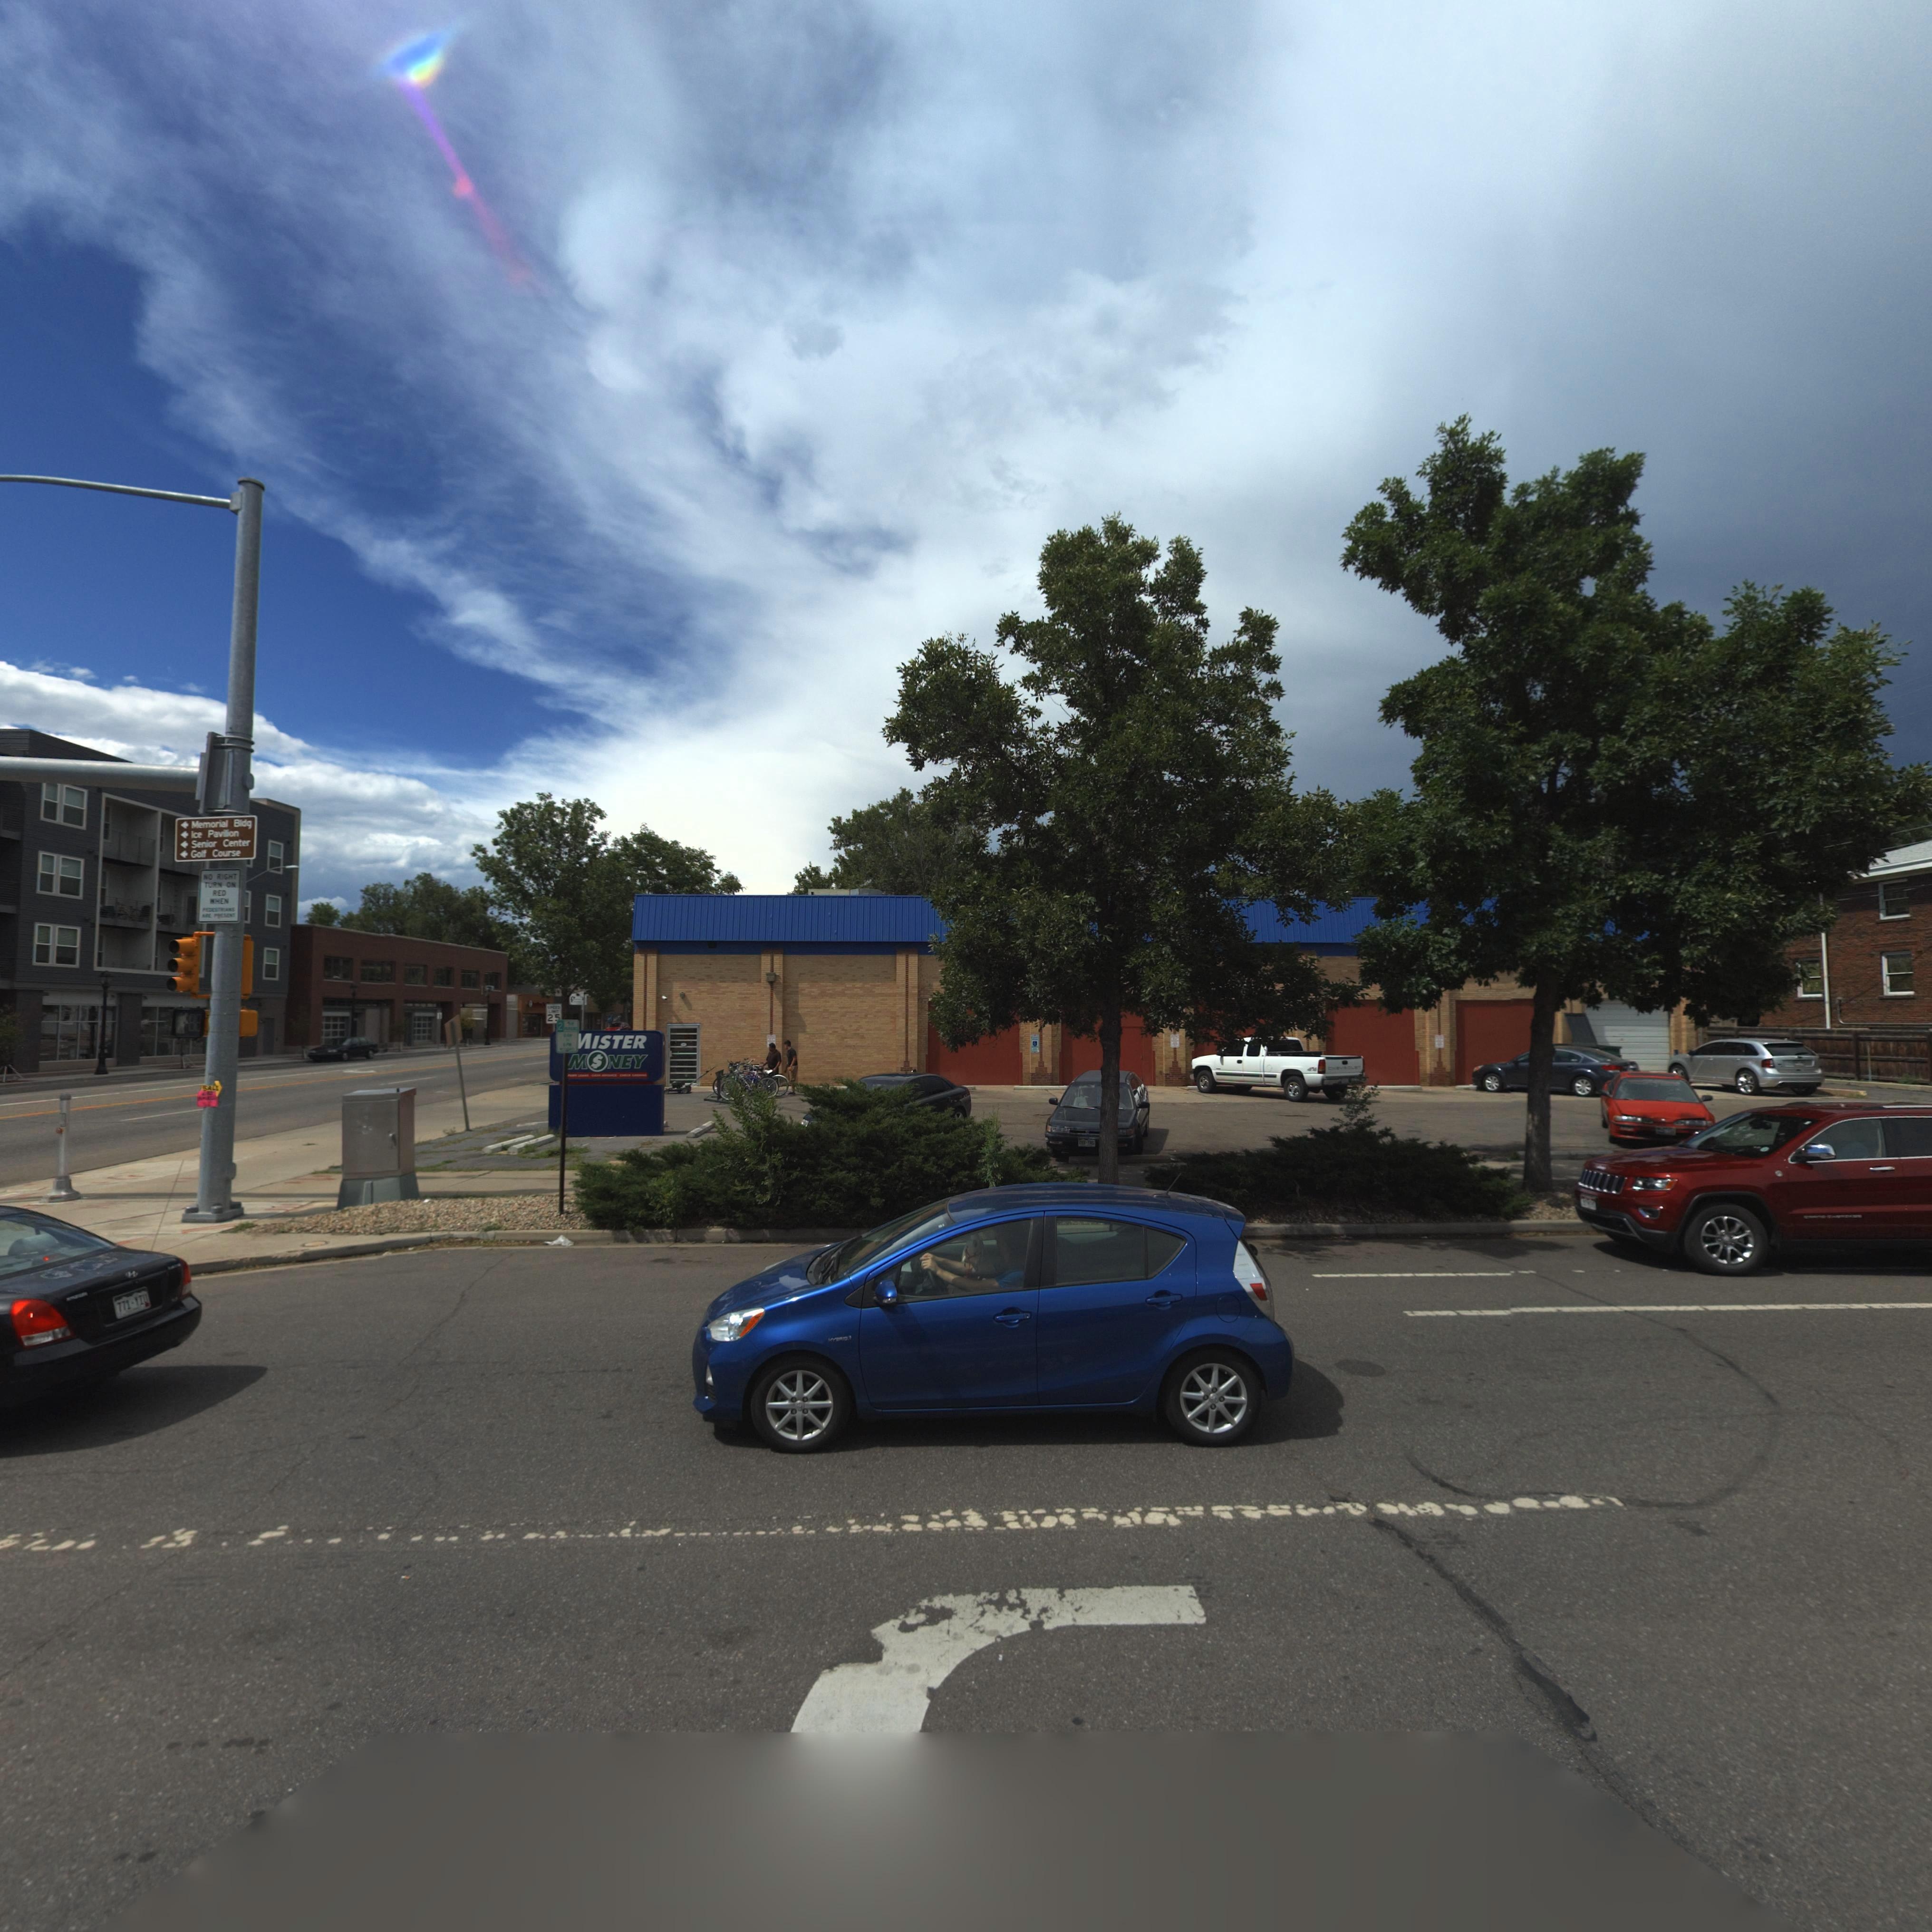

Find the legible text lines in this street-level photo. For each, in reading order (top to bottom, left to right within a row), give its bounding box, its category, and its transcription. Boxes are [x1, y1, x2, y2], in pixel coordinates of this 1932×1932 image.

[570, 996, 575, 1002] BusinessName: f
[578, 1033, 647, 1049] BusinessName: *ISTER
[568, 1054, 649, 1069] BusinessName: M*NEY